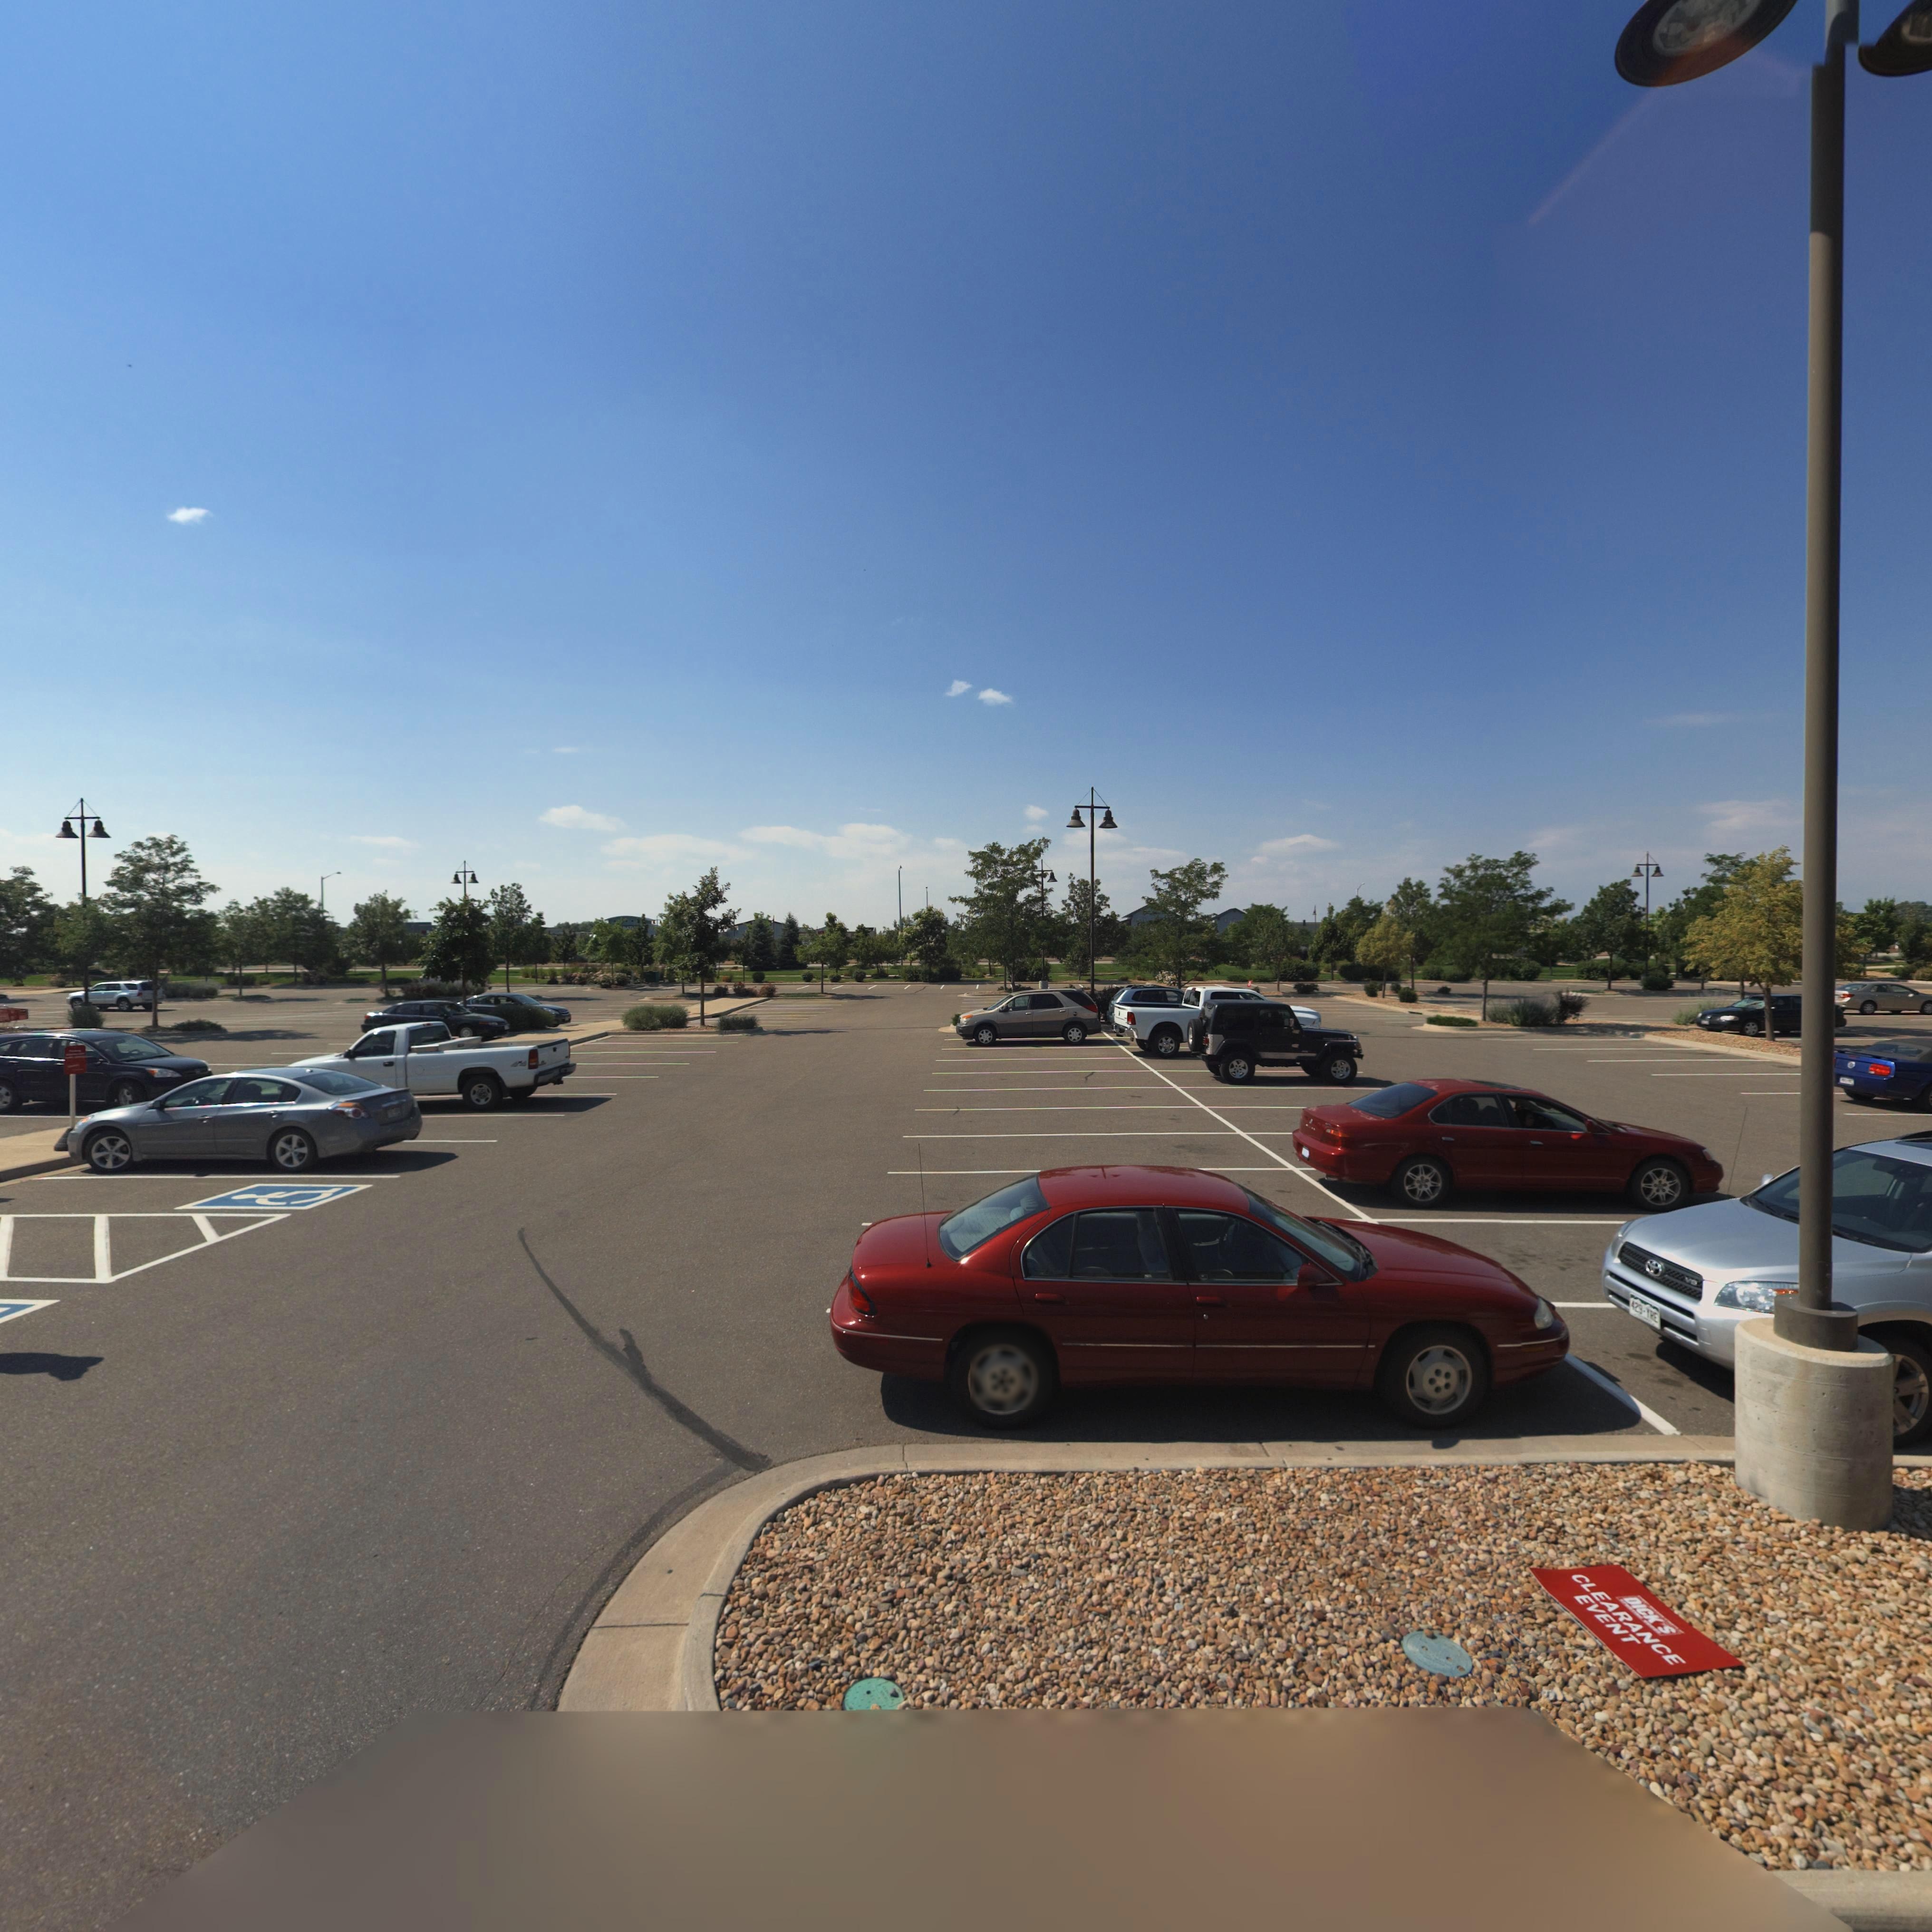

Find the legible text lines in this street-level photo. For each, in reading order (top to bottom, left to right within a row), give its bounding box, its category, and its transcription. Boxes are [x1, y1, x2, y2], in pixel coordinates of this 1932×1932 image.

[1623, 1596, 1676, 1635] BusinessName: DICK'S